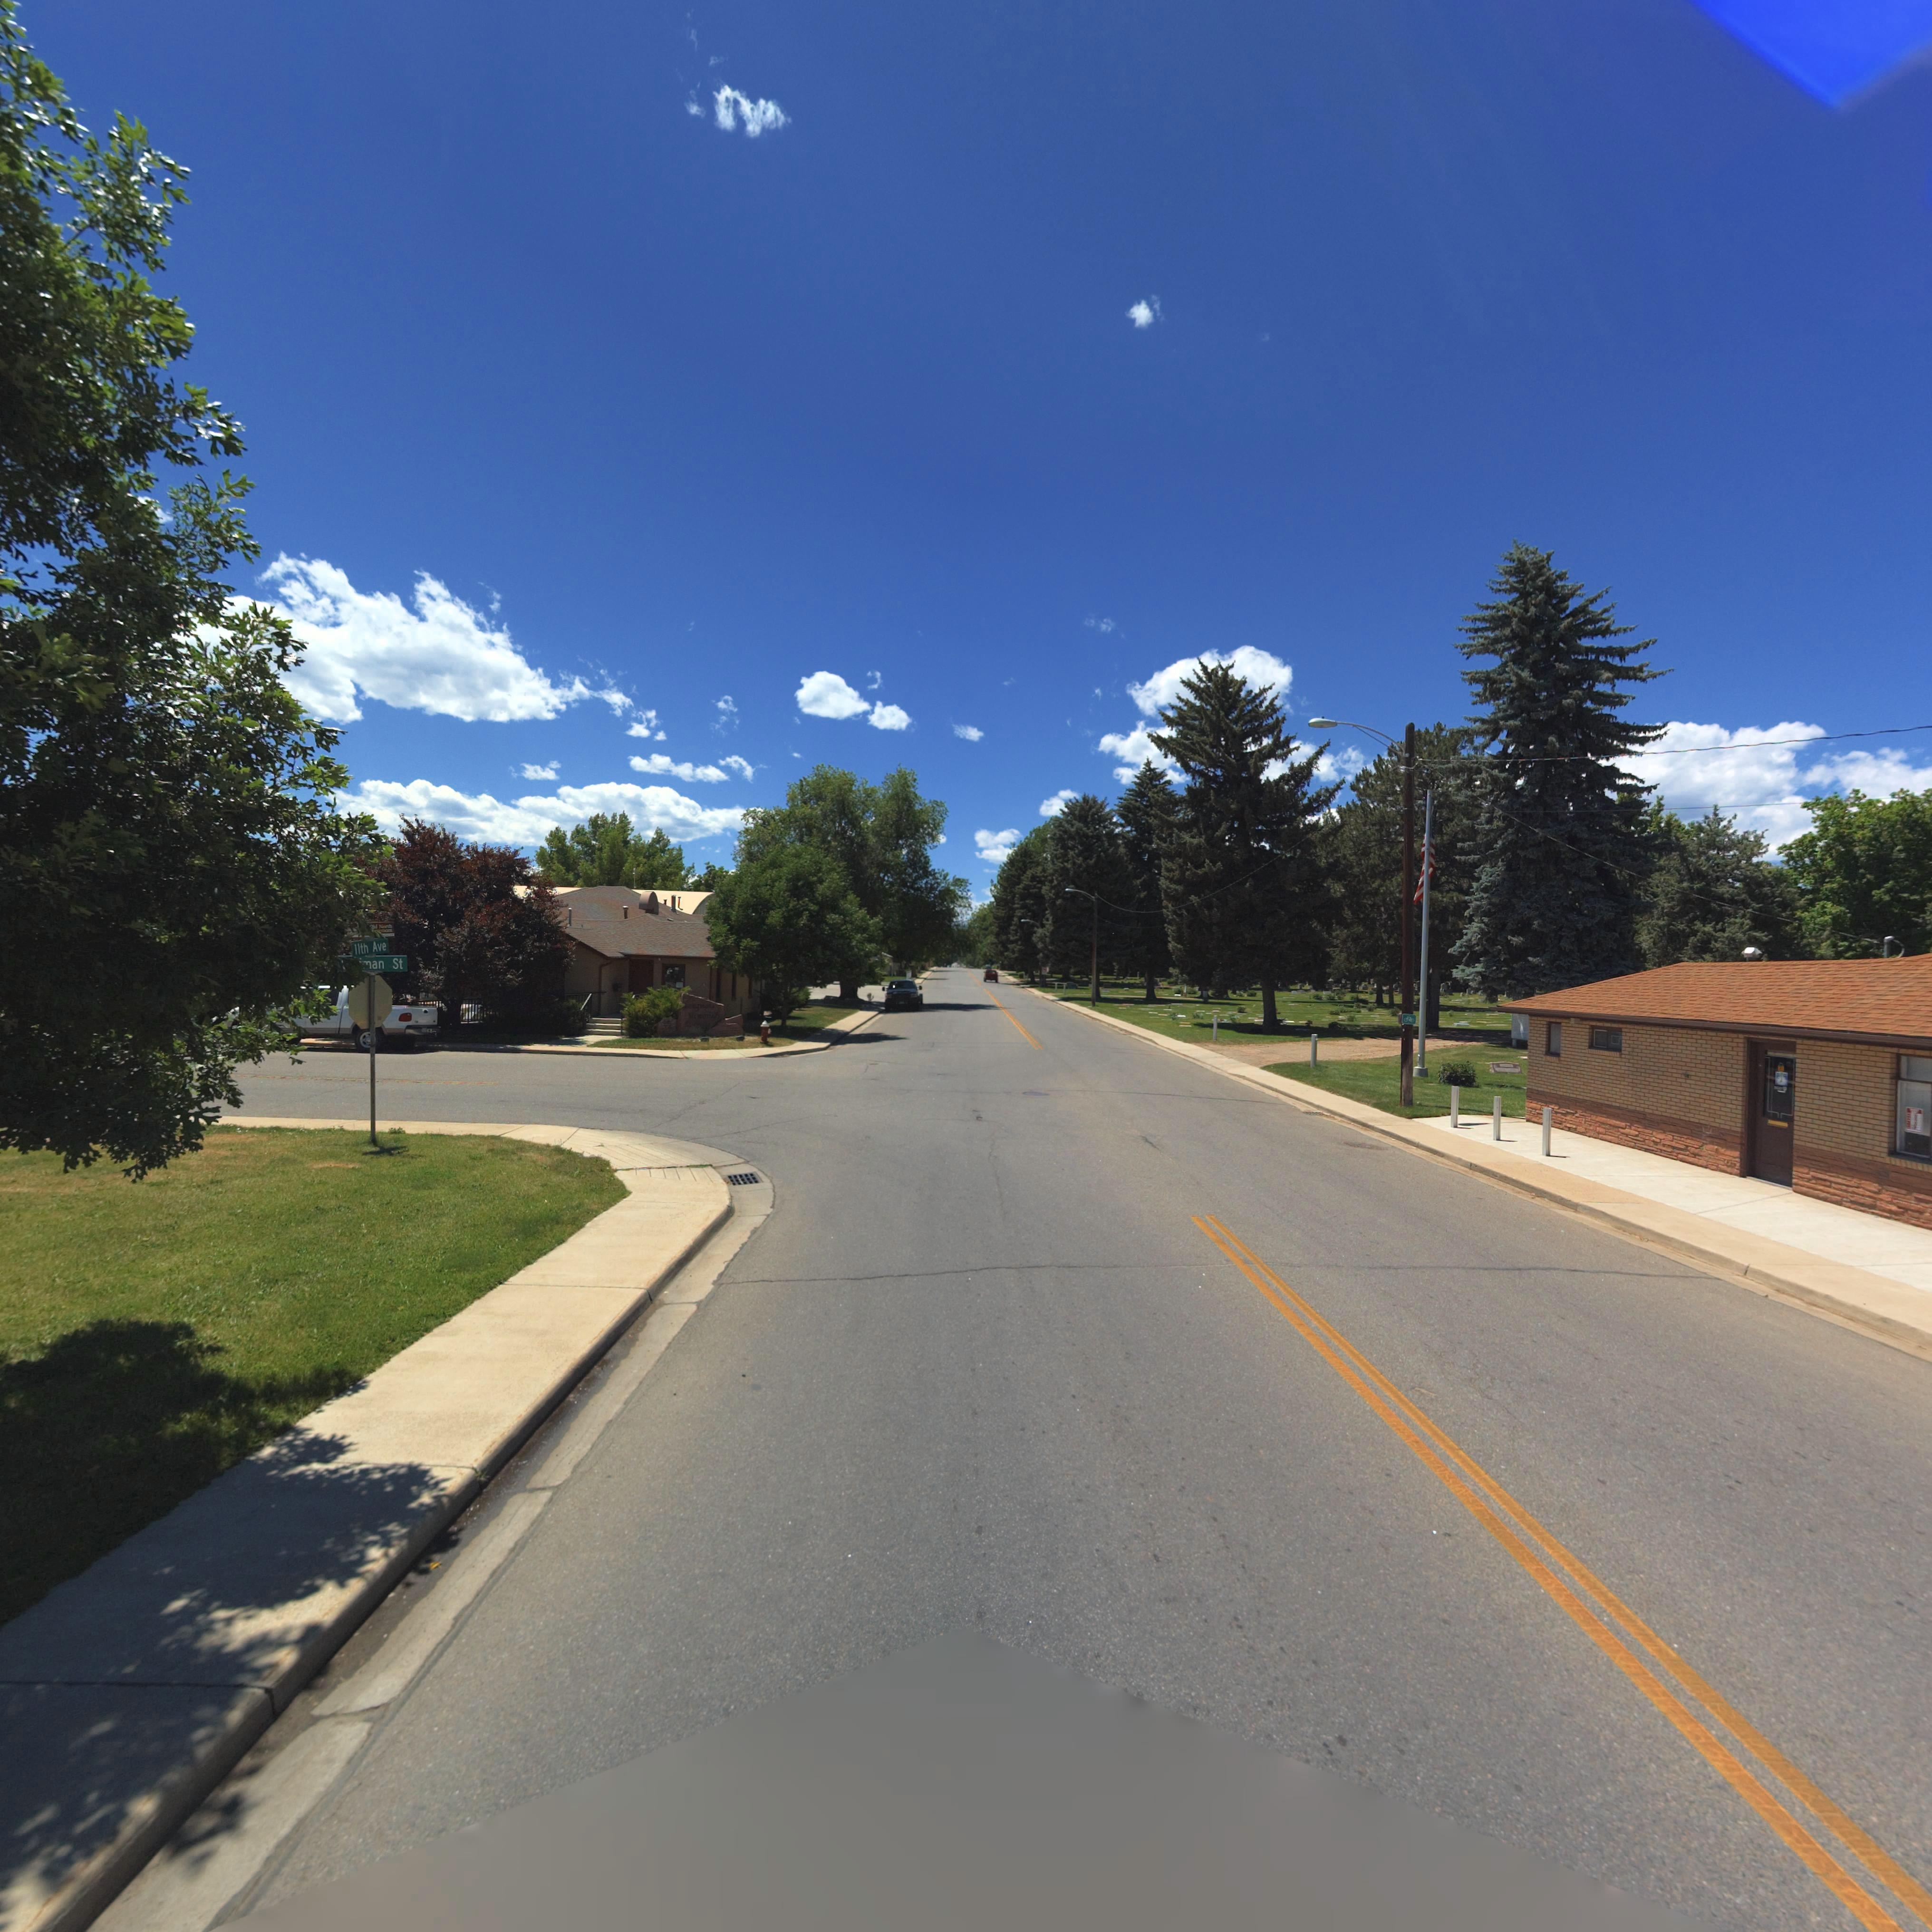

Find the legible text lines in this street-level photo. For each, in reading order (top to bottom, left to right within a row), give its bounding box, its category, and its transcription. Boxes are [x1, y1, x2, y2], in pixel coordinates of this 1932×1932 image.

[354, 940, 386, 955] StreetName: 11th Ave
[362, 957, 403, 969] StreetName: *an St
[684, 1002, 714, 1012] BusinessName: Longmont
[688, 1012, 720, 1019] BusinessName: Memorials